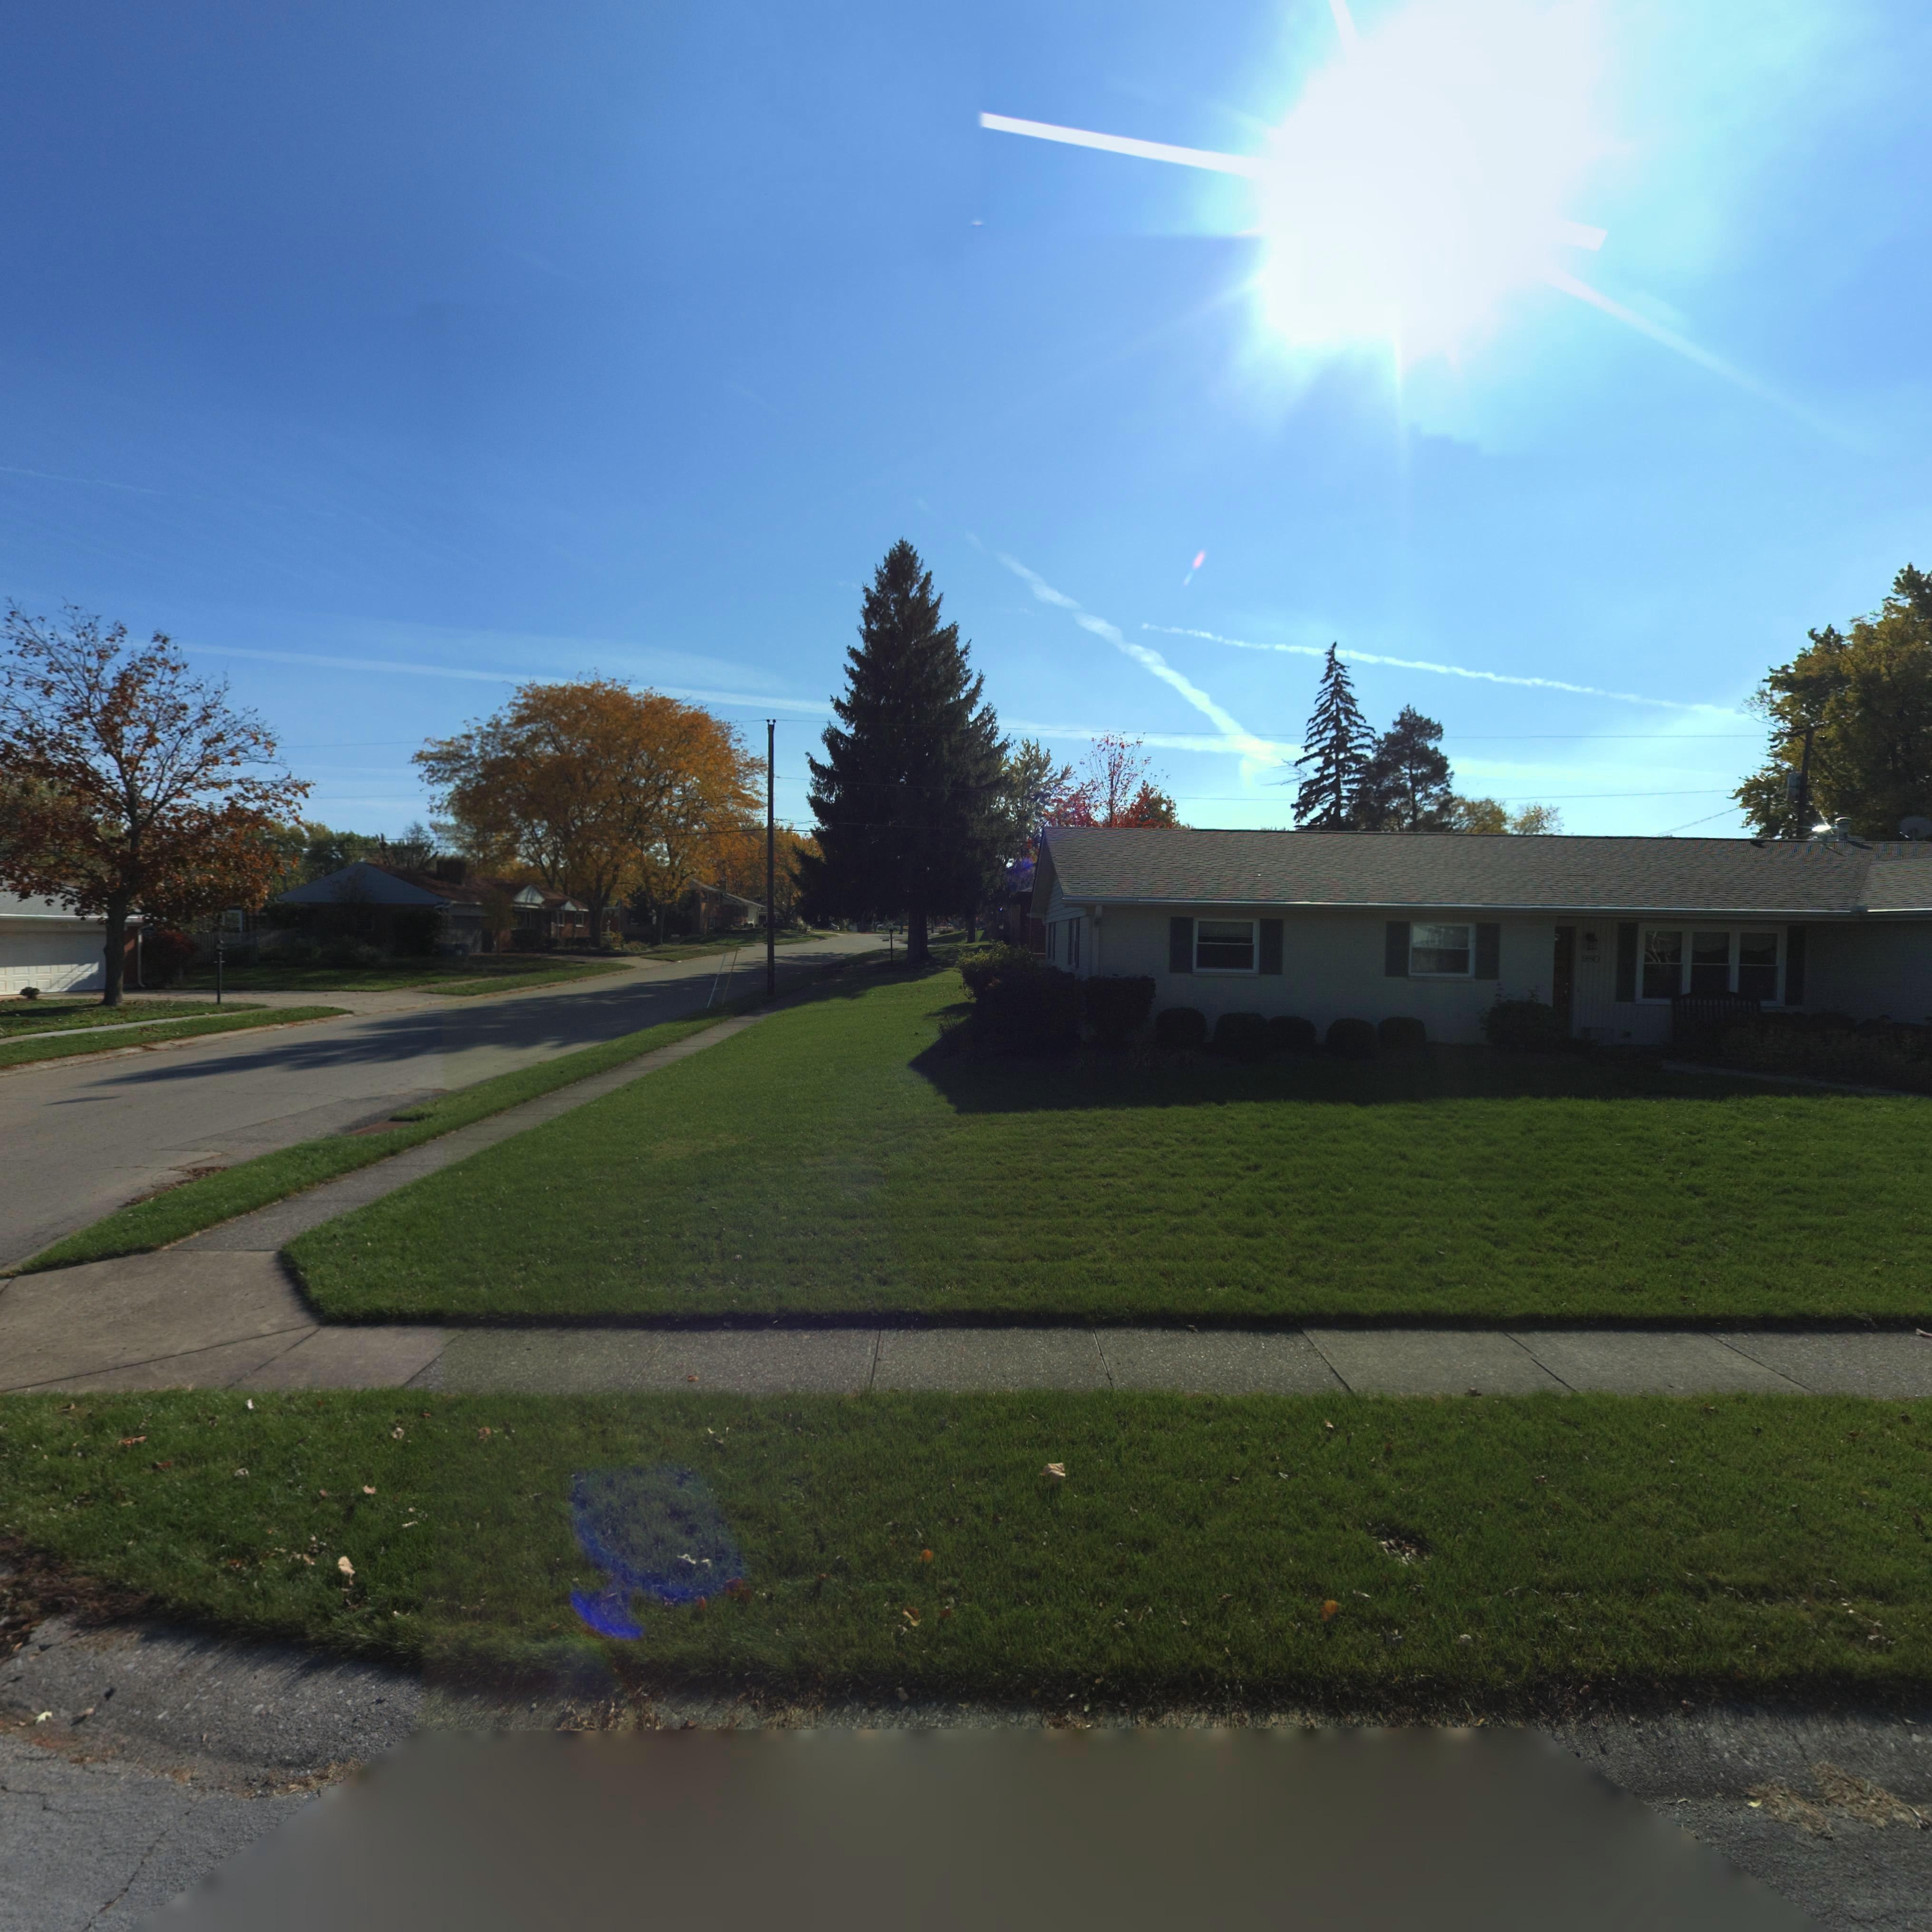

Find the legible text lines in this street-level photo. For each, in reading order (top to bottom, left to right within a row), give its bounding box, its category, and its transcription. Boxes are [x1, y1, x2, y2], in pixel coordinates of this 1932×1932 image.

[1581, 954, 1600, 963] StreetNumber: 980